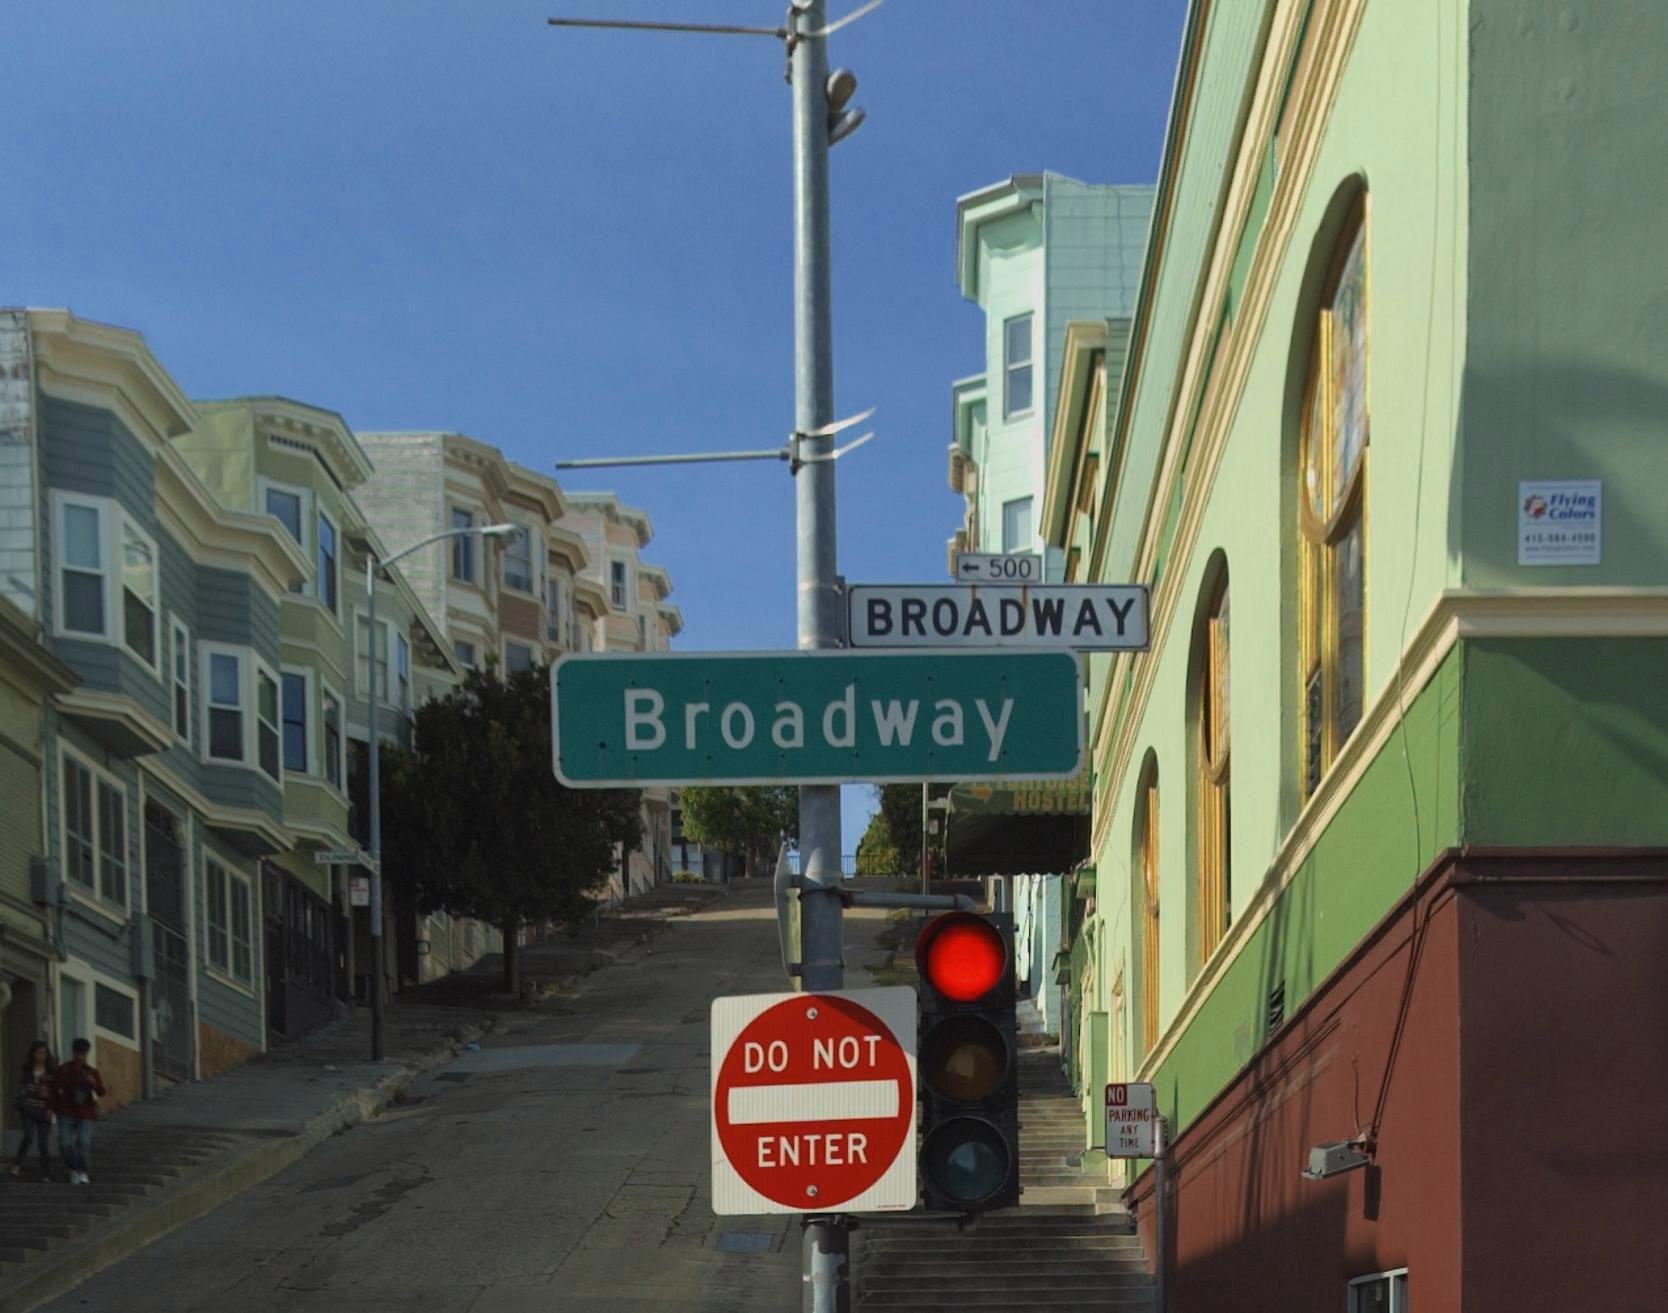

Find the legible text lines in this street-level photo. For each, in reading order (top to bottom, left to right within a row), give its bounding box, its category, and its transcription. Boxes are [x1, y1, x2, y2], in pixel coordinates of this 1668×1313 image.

[1546, 488, 1599, 511] None: FLYING
[1546, 505, 1598, 523] None: Colors
[958, 556, 1034, 581] StreetNumberRange: <-500
[863, 594, 1139, 639] StreetName: BROADWAY
[617, 677, 1019, 767] StreetName: Broadway
[1009, 786, 1092, 816] BusinessName: HOSTEL
[740, 1030, 886, 1078] None: DO NOT
[1105, 1084, 1127, 1106] None: NO
[1106, 1104, 1154, 1126] None: PARKING
[1116, 1121, 1143, 1137] None: ANY
[753, 1127, 873, 1172] None: ENTER
[1116, 1135, 1143, 1151] None: TIME